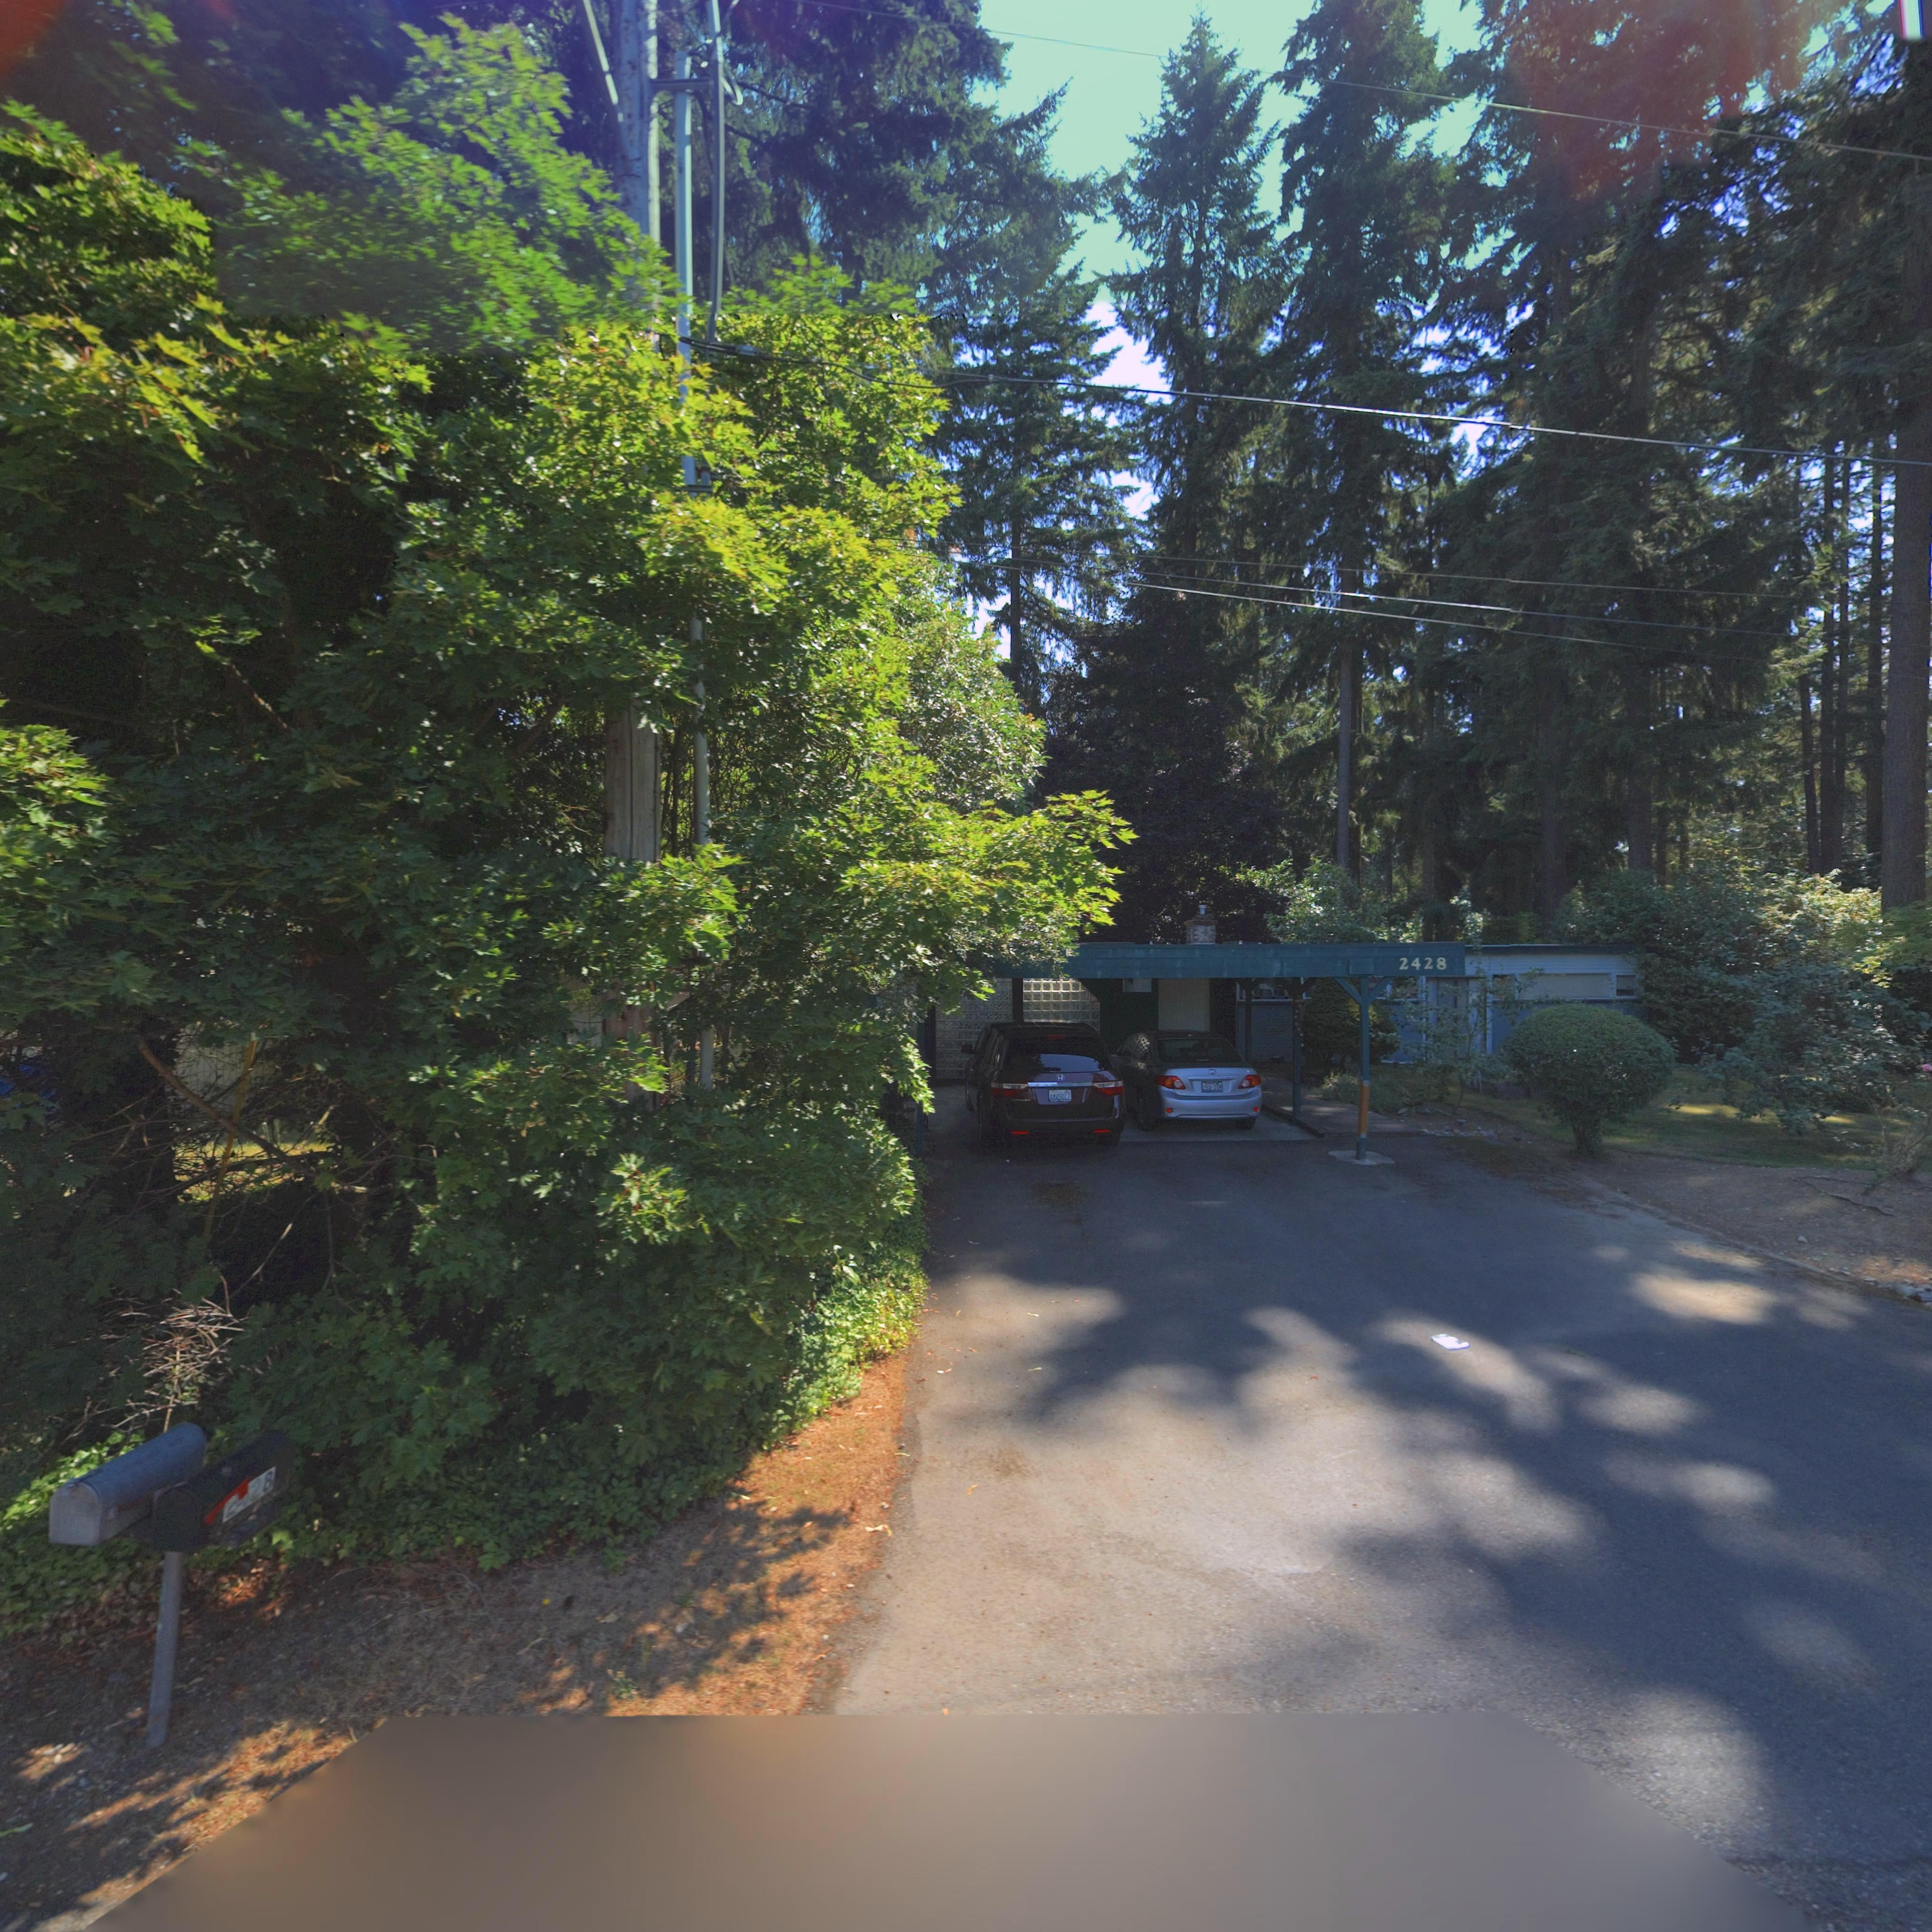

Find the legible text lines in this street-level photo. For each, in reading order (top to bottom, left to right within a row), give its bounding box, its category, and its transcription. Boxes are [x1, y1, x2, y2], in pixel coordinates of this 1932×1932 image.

[1399, 957, 1446, 969] StreetNumber: 2428
[250, 1467, 274, 1503] StreetNumber: 28